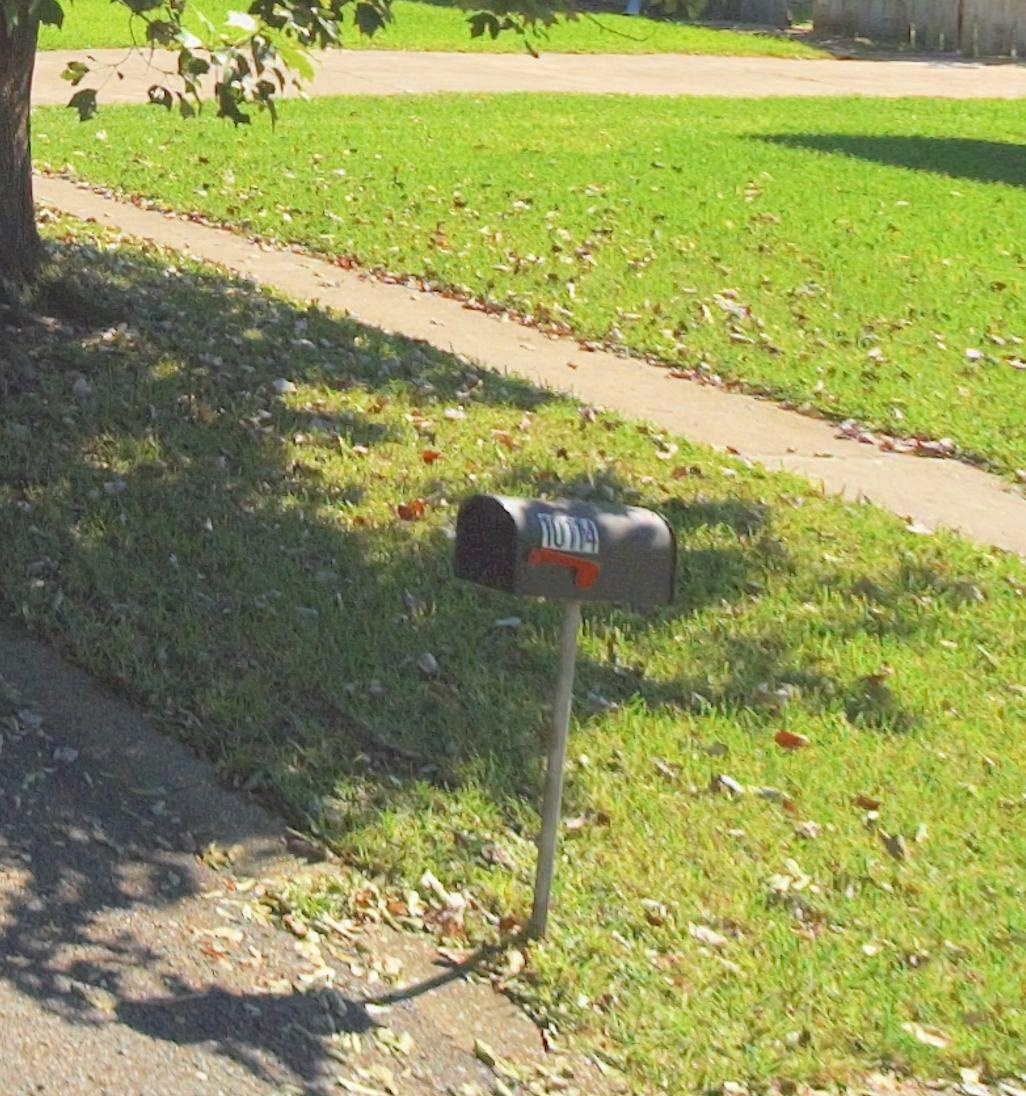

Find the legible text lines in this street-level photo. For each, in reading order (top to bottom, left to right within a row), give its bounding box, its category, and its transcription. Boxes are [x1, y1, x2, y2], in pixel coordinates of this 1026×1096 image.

[539, 513, 599, 552] StreetNumber: 10114